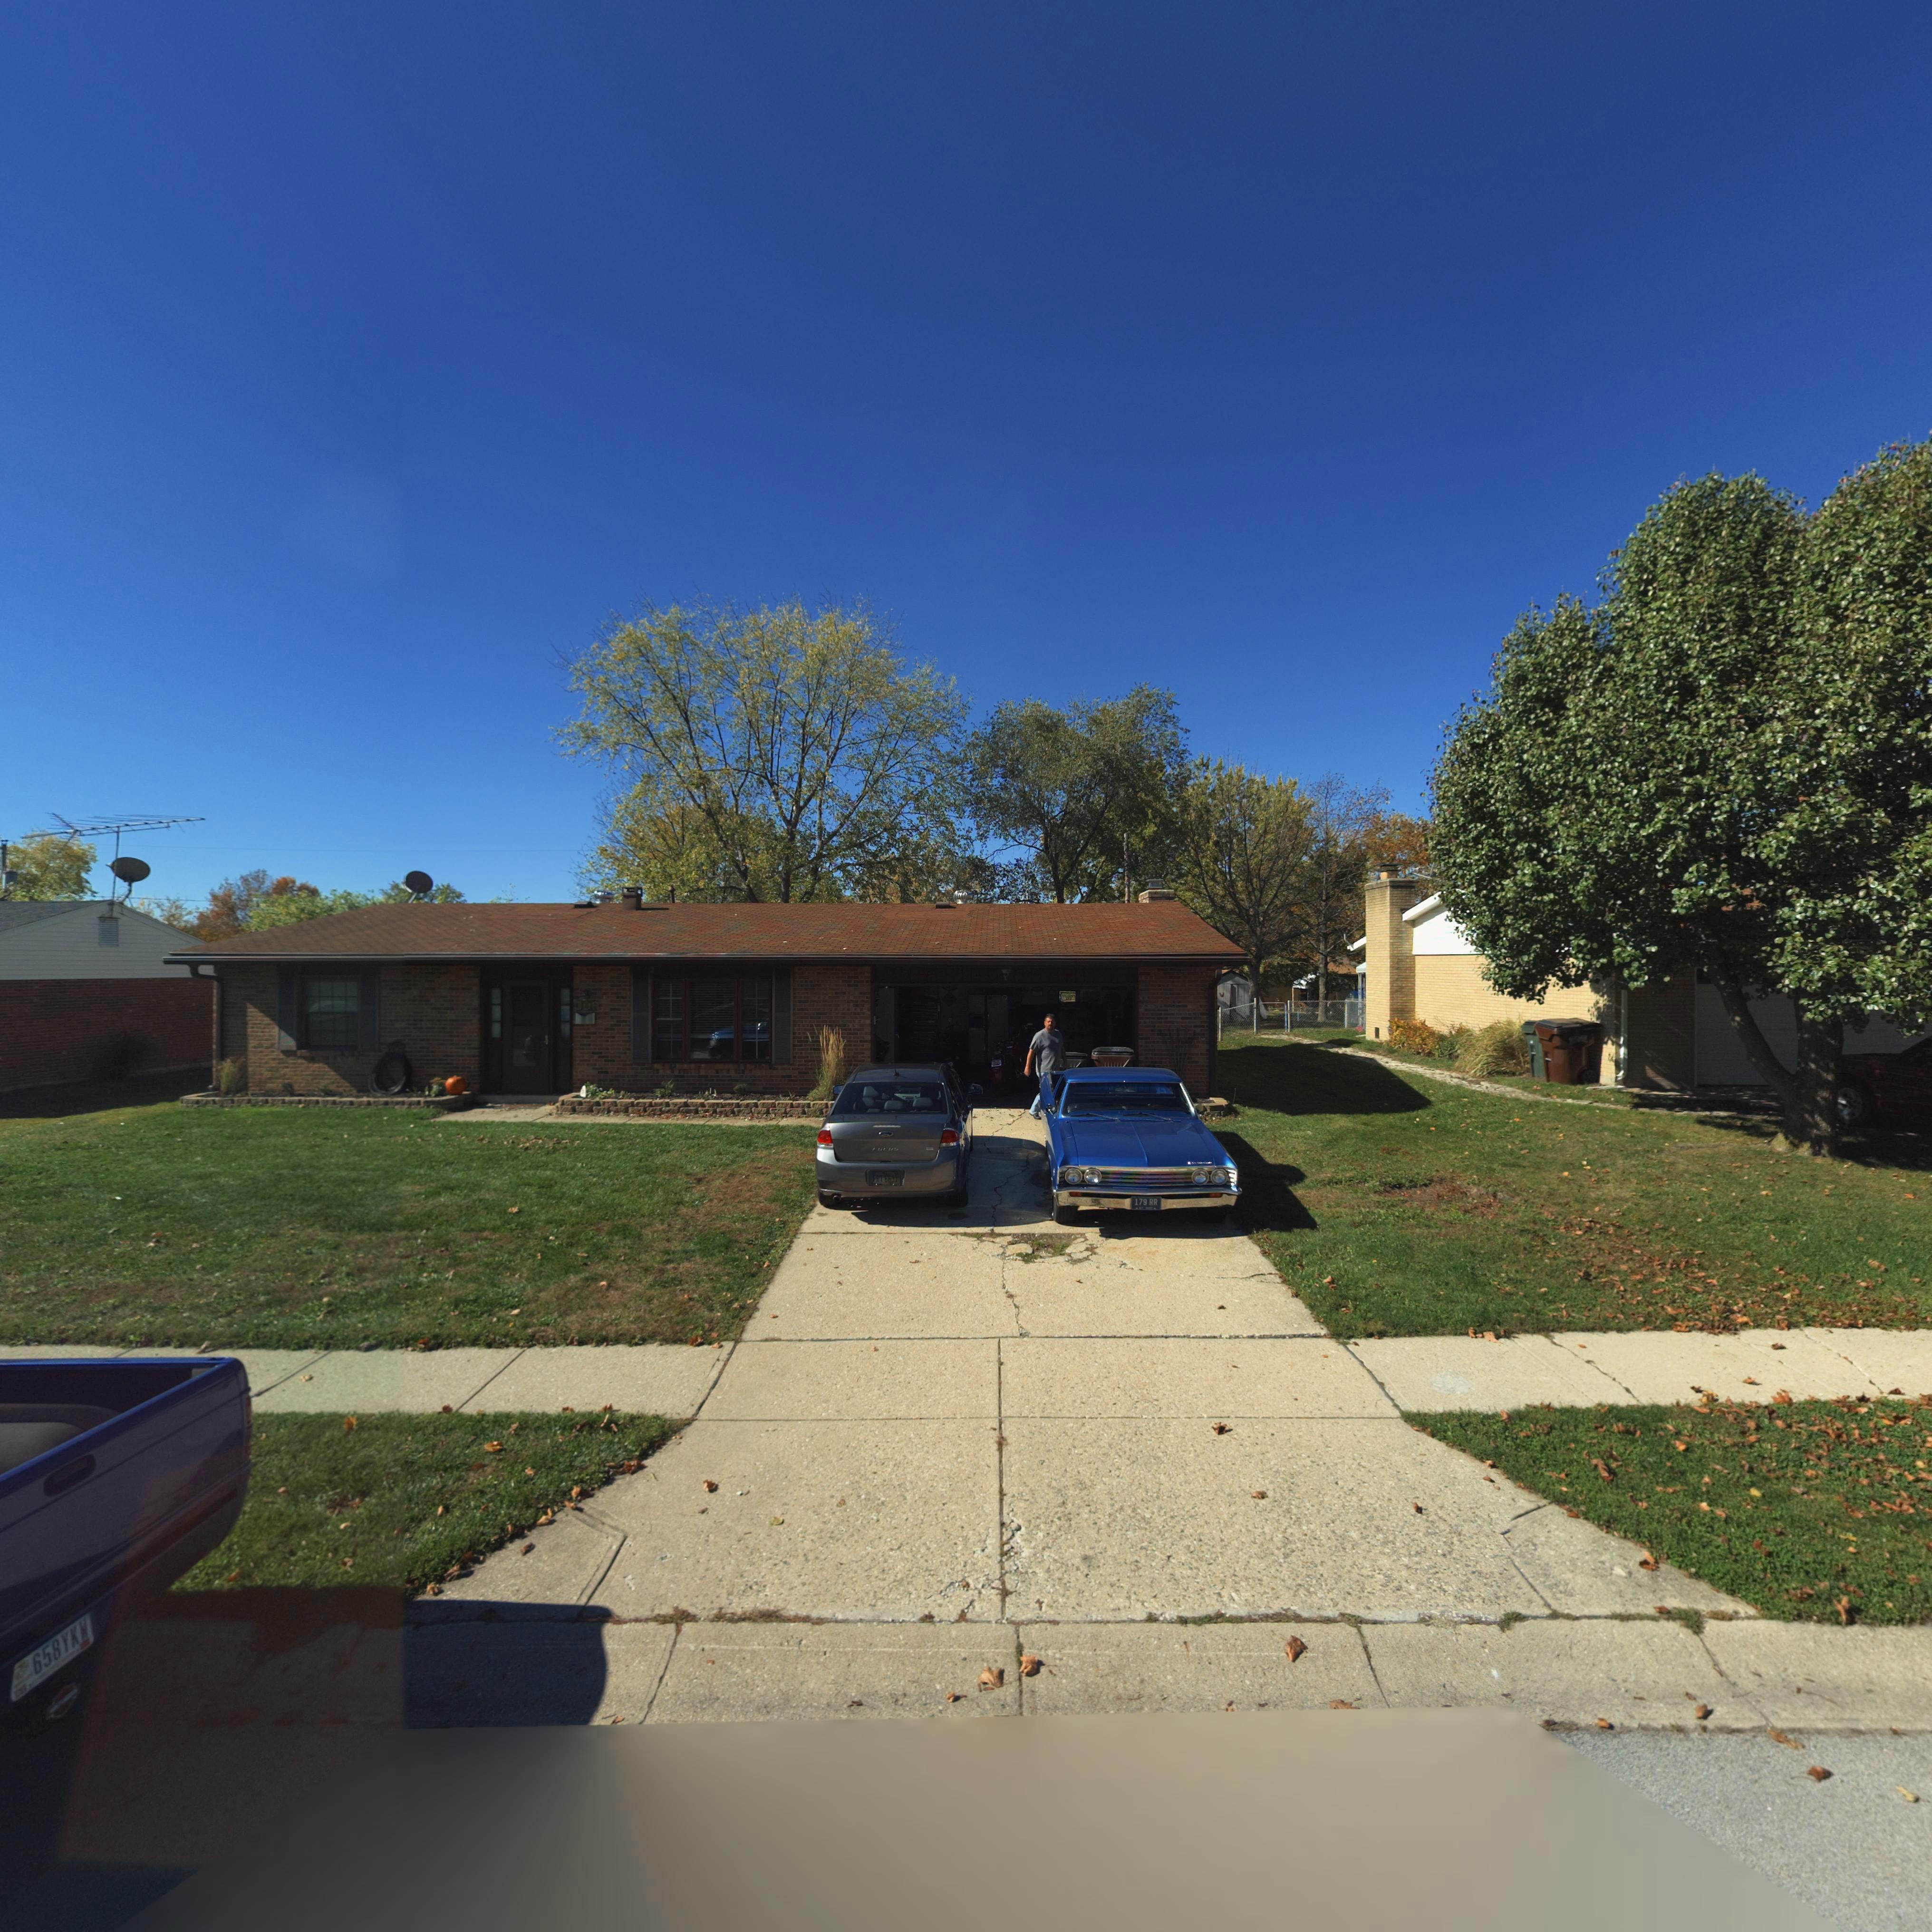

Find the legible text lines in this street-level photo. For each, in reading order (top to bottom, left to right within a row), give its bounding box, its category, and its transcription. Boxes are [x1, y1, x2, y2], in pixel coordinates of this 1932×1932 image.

[573, 1000, 599, 1011] StreetNumber: 308